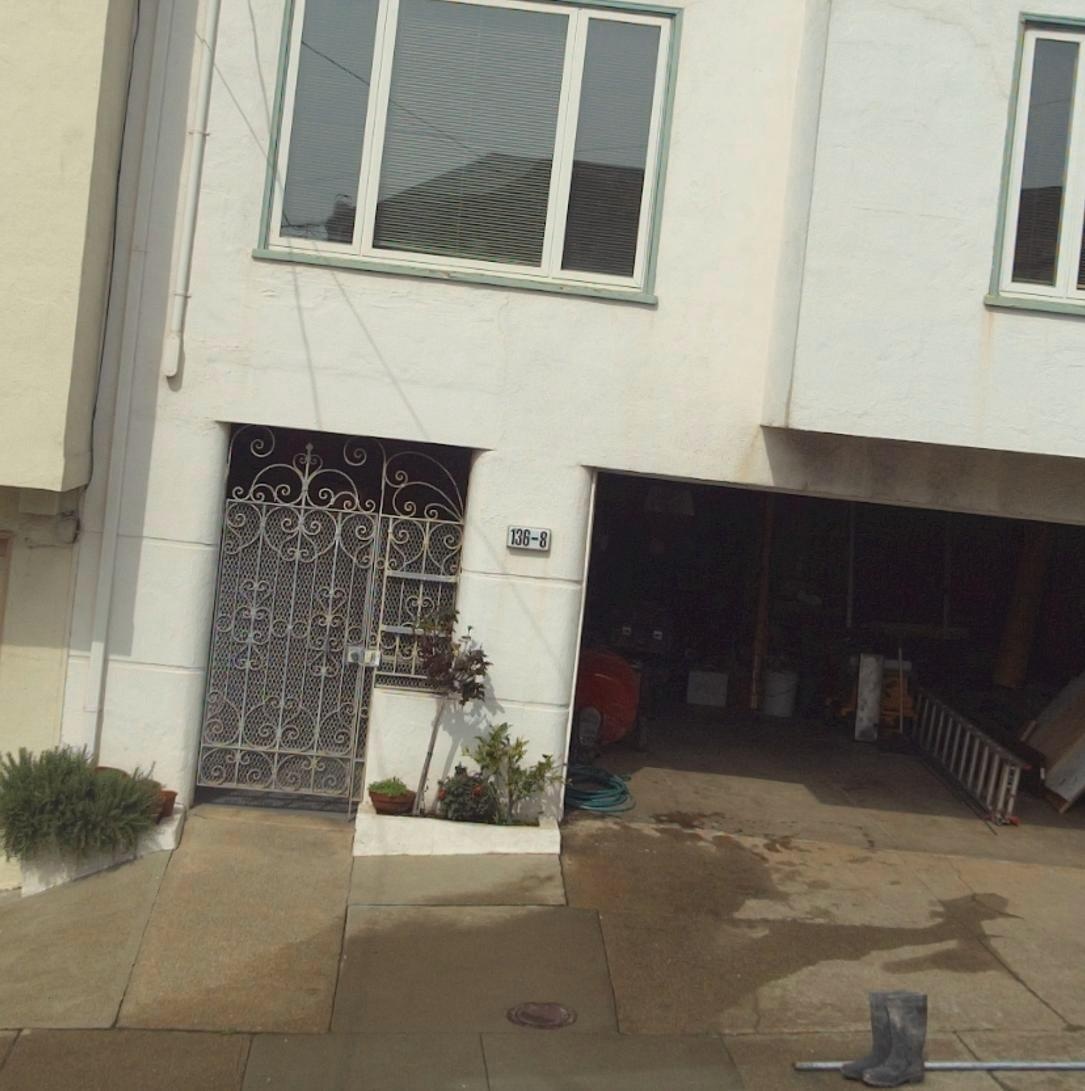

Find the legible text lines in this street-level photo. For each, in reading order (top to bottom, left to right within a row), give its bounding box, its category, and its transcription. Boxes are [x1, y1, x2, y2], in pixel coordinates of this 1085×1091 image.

[508, 526, 549, 550] StreetNumber: 136-8